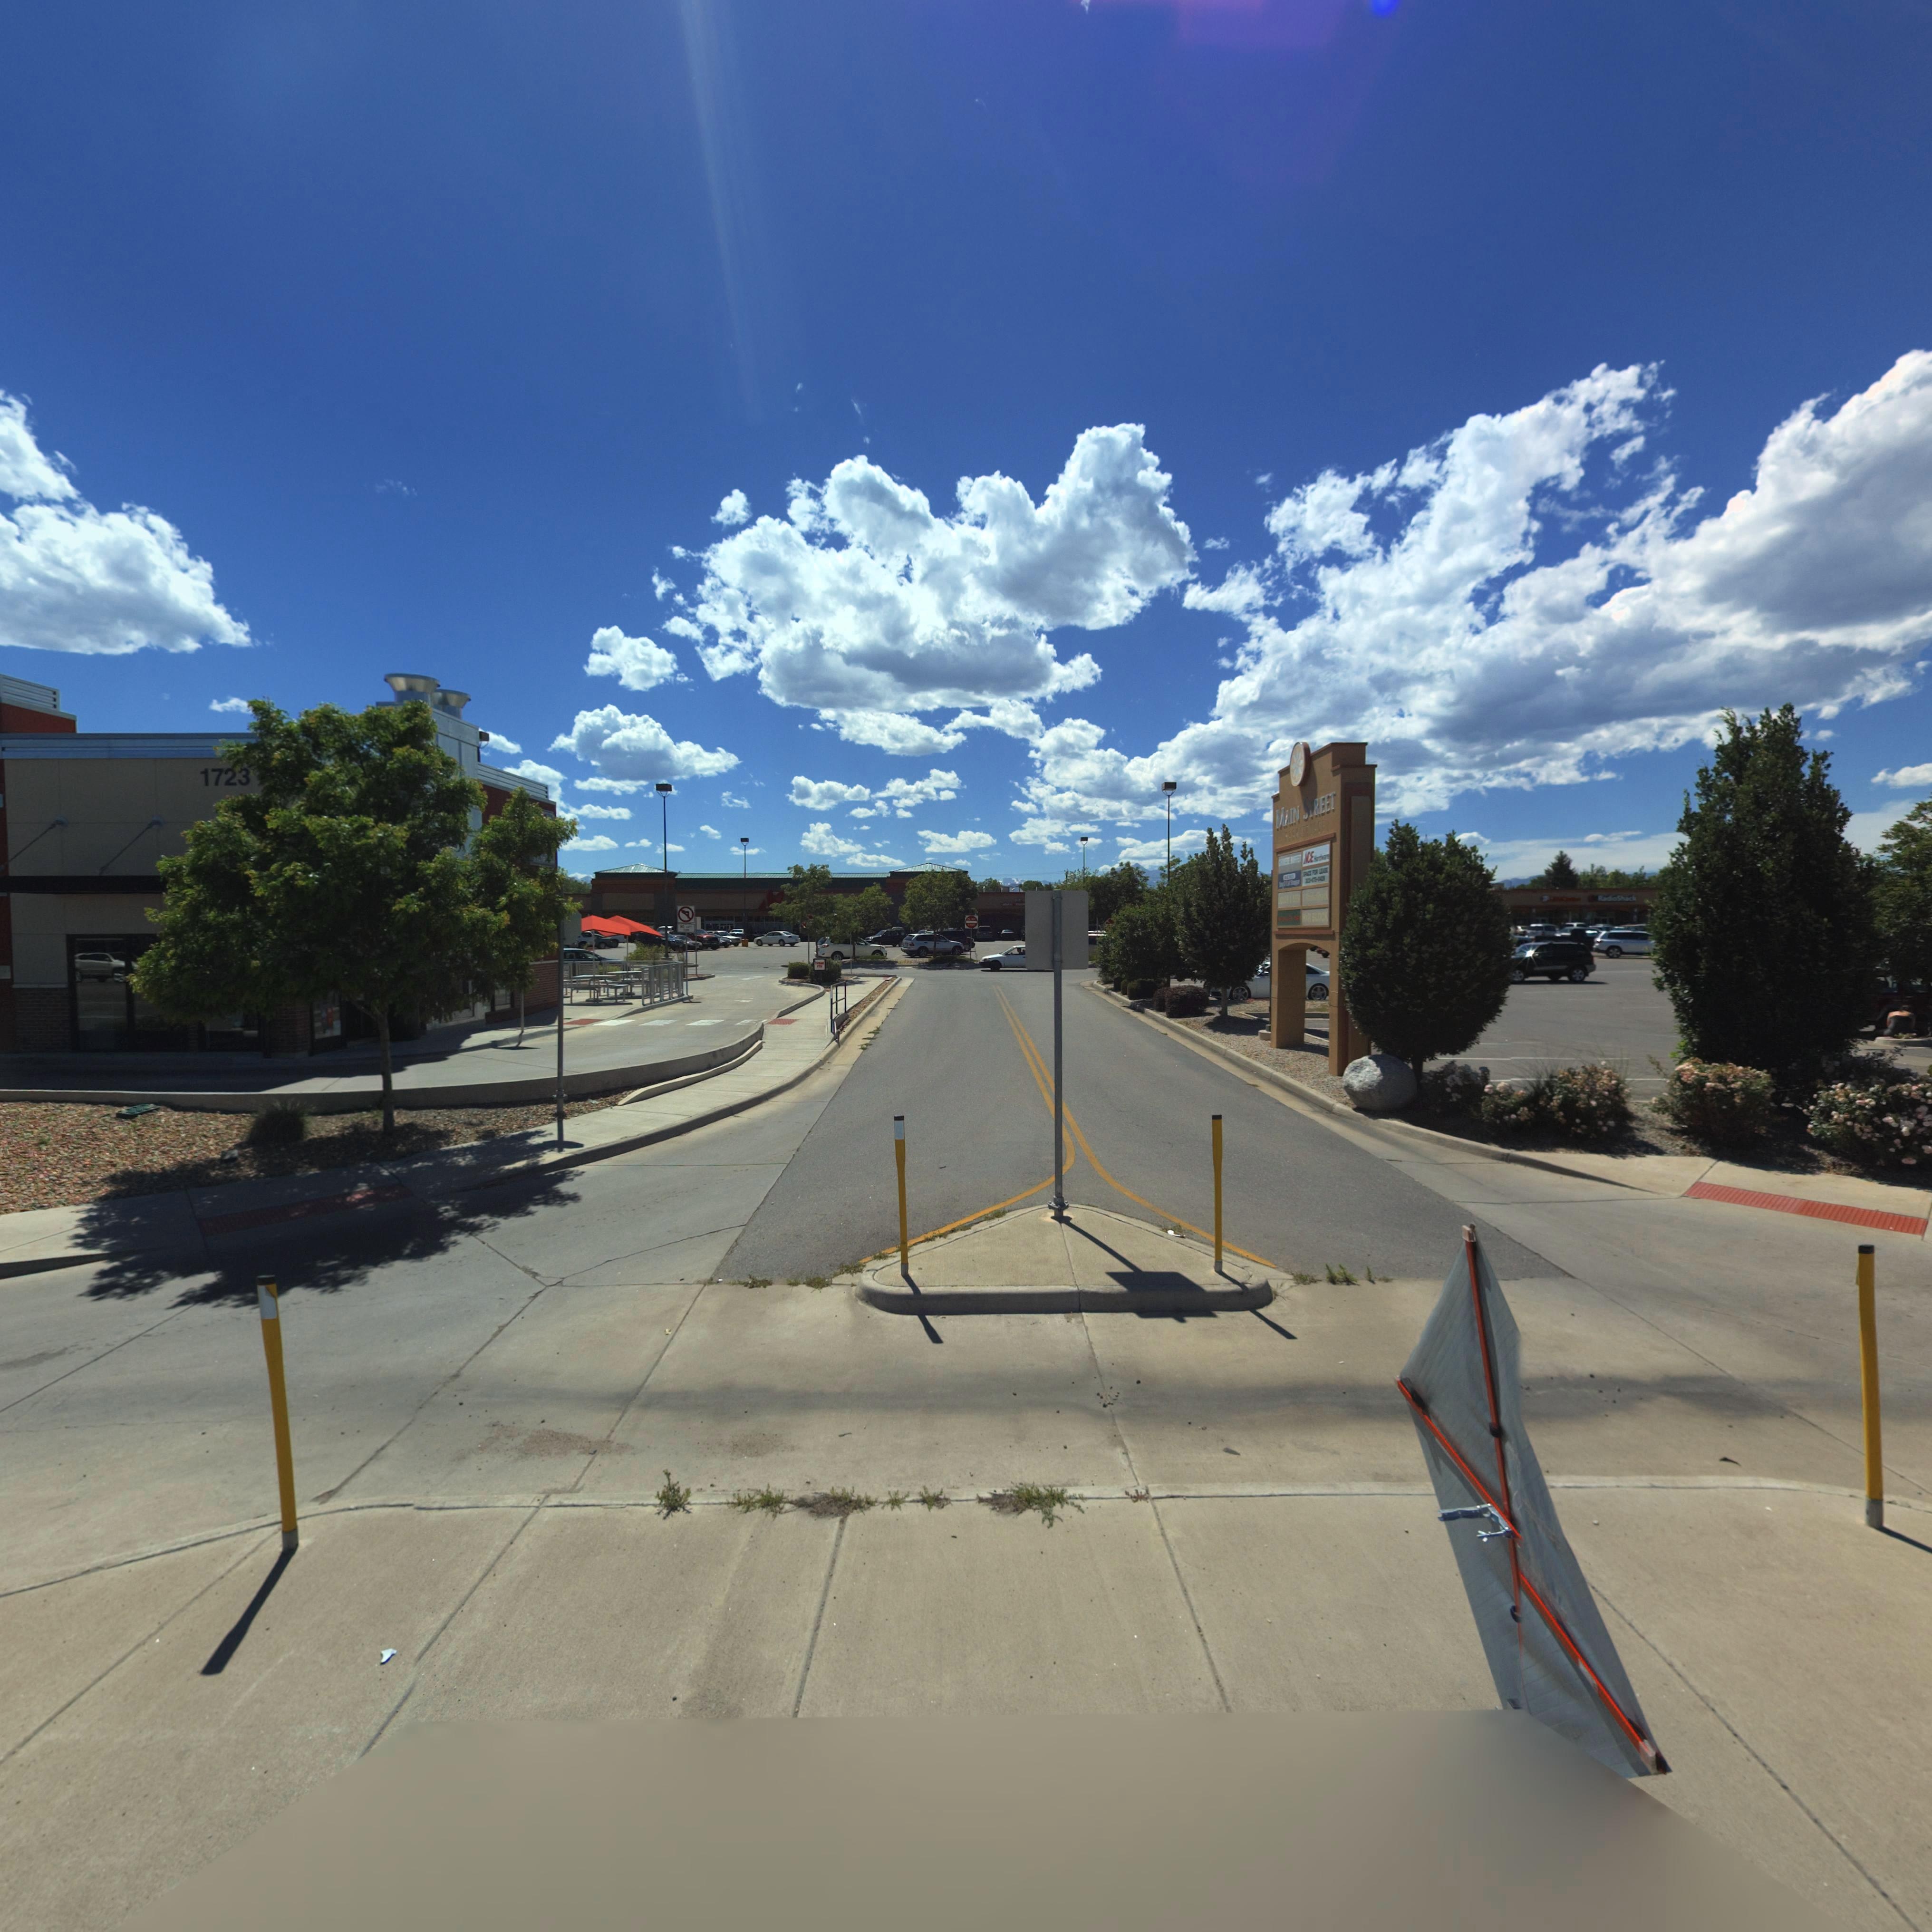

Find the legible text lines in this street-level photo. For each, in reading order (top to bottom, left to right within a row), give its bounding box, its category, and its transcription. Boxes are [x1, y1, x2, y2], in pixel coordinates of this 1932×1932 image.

[198, 766, 251, 788] StreetNumber: 1723
[1280, 818, 1328, 845] BusinessName: MA**** ****E
[1302, 850, 1314, 865] BusinessName: *CE
[1598, 894, 1638, 901] BusinessName: Radio Shack